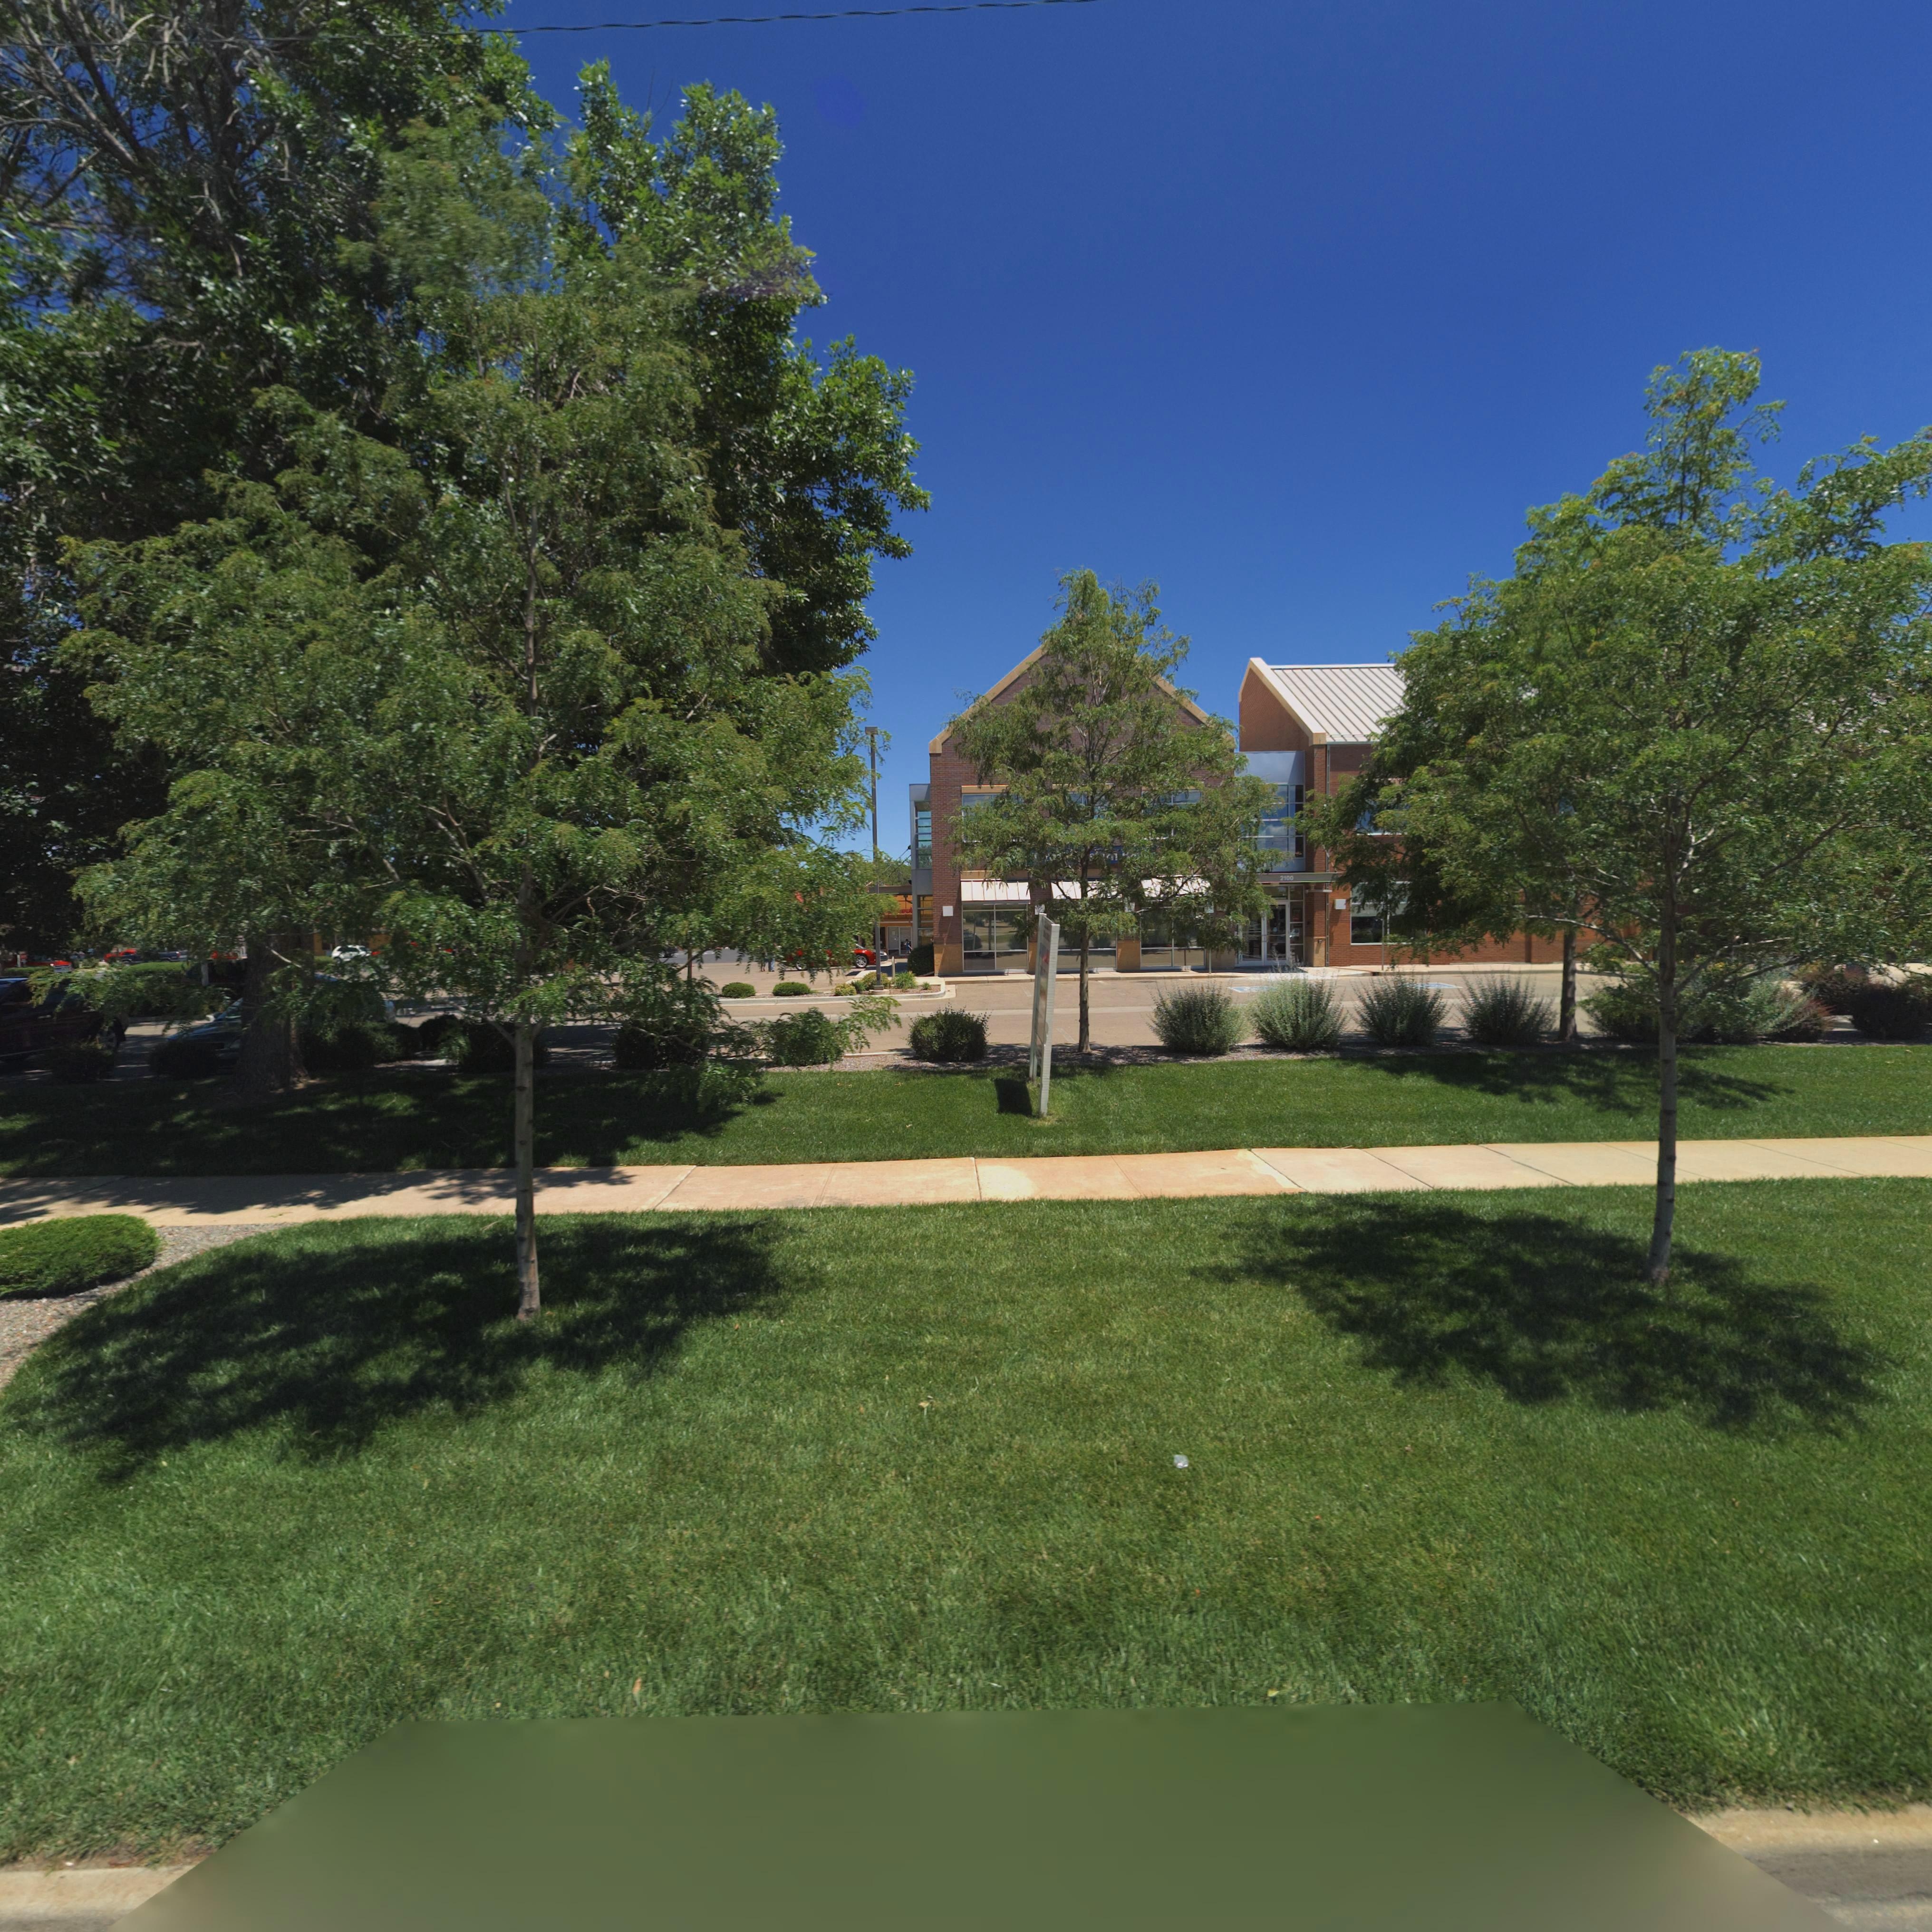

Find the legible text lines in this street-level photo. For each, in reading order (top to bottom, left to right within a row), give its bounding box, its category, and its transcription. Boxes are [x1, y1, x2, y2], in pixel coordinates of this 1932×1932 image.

[1279, 875, 1294, 881] StreetNumber: 2100